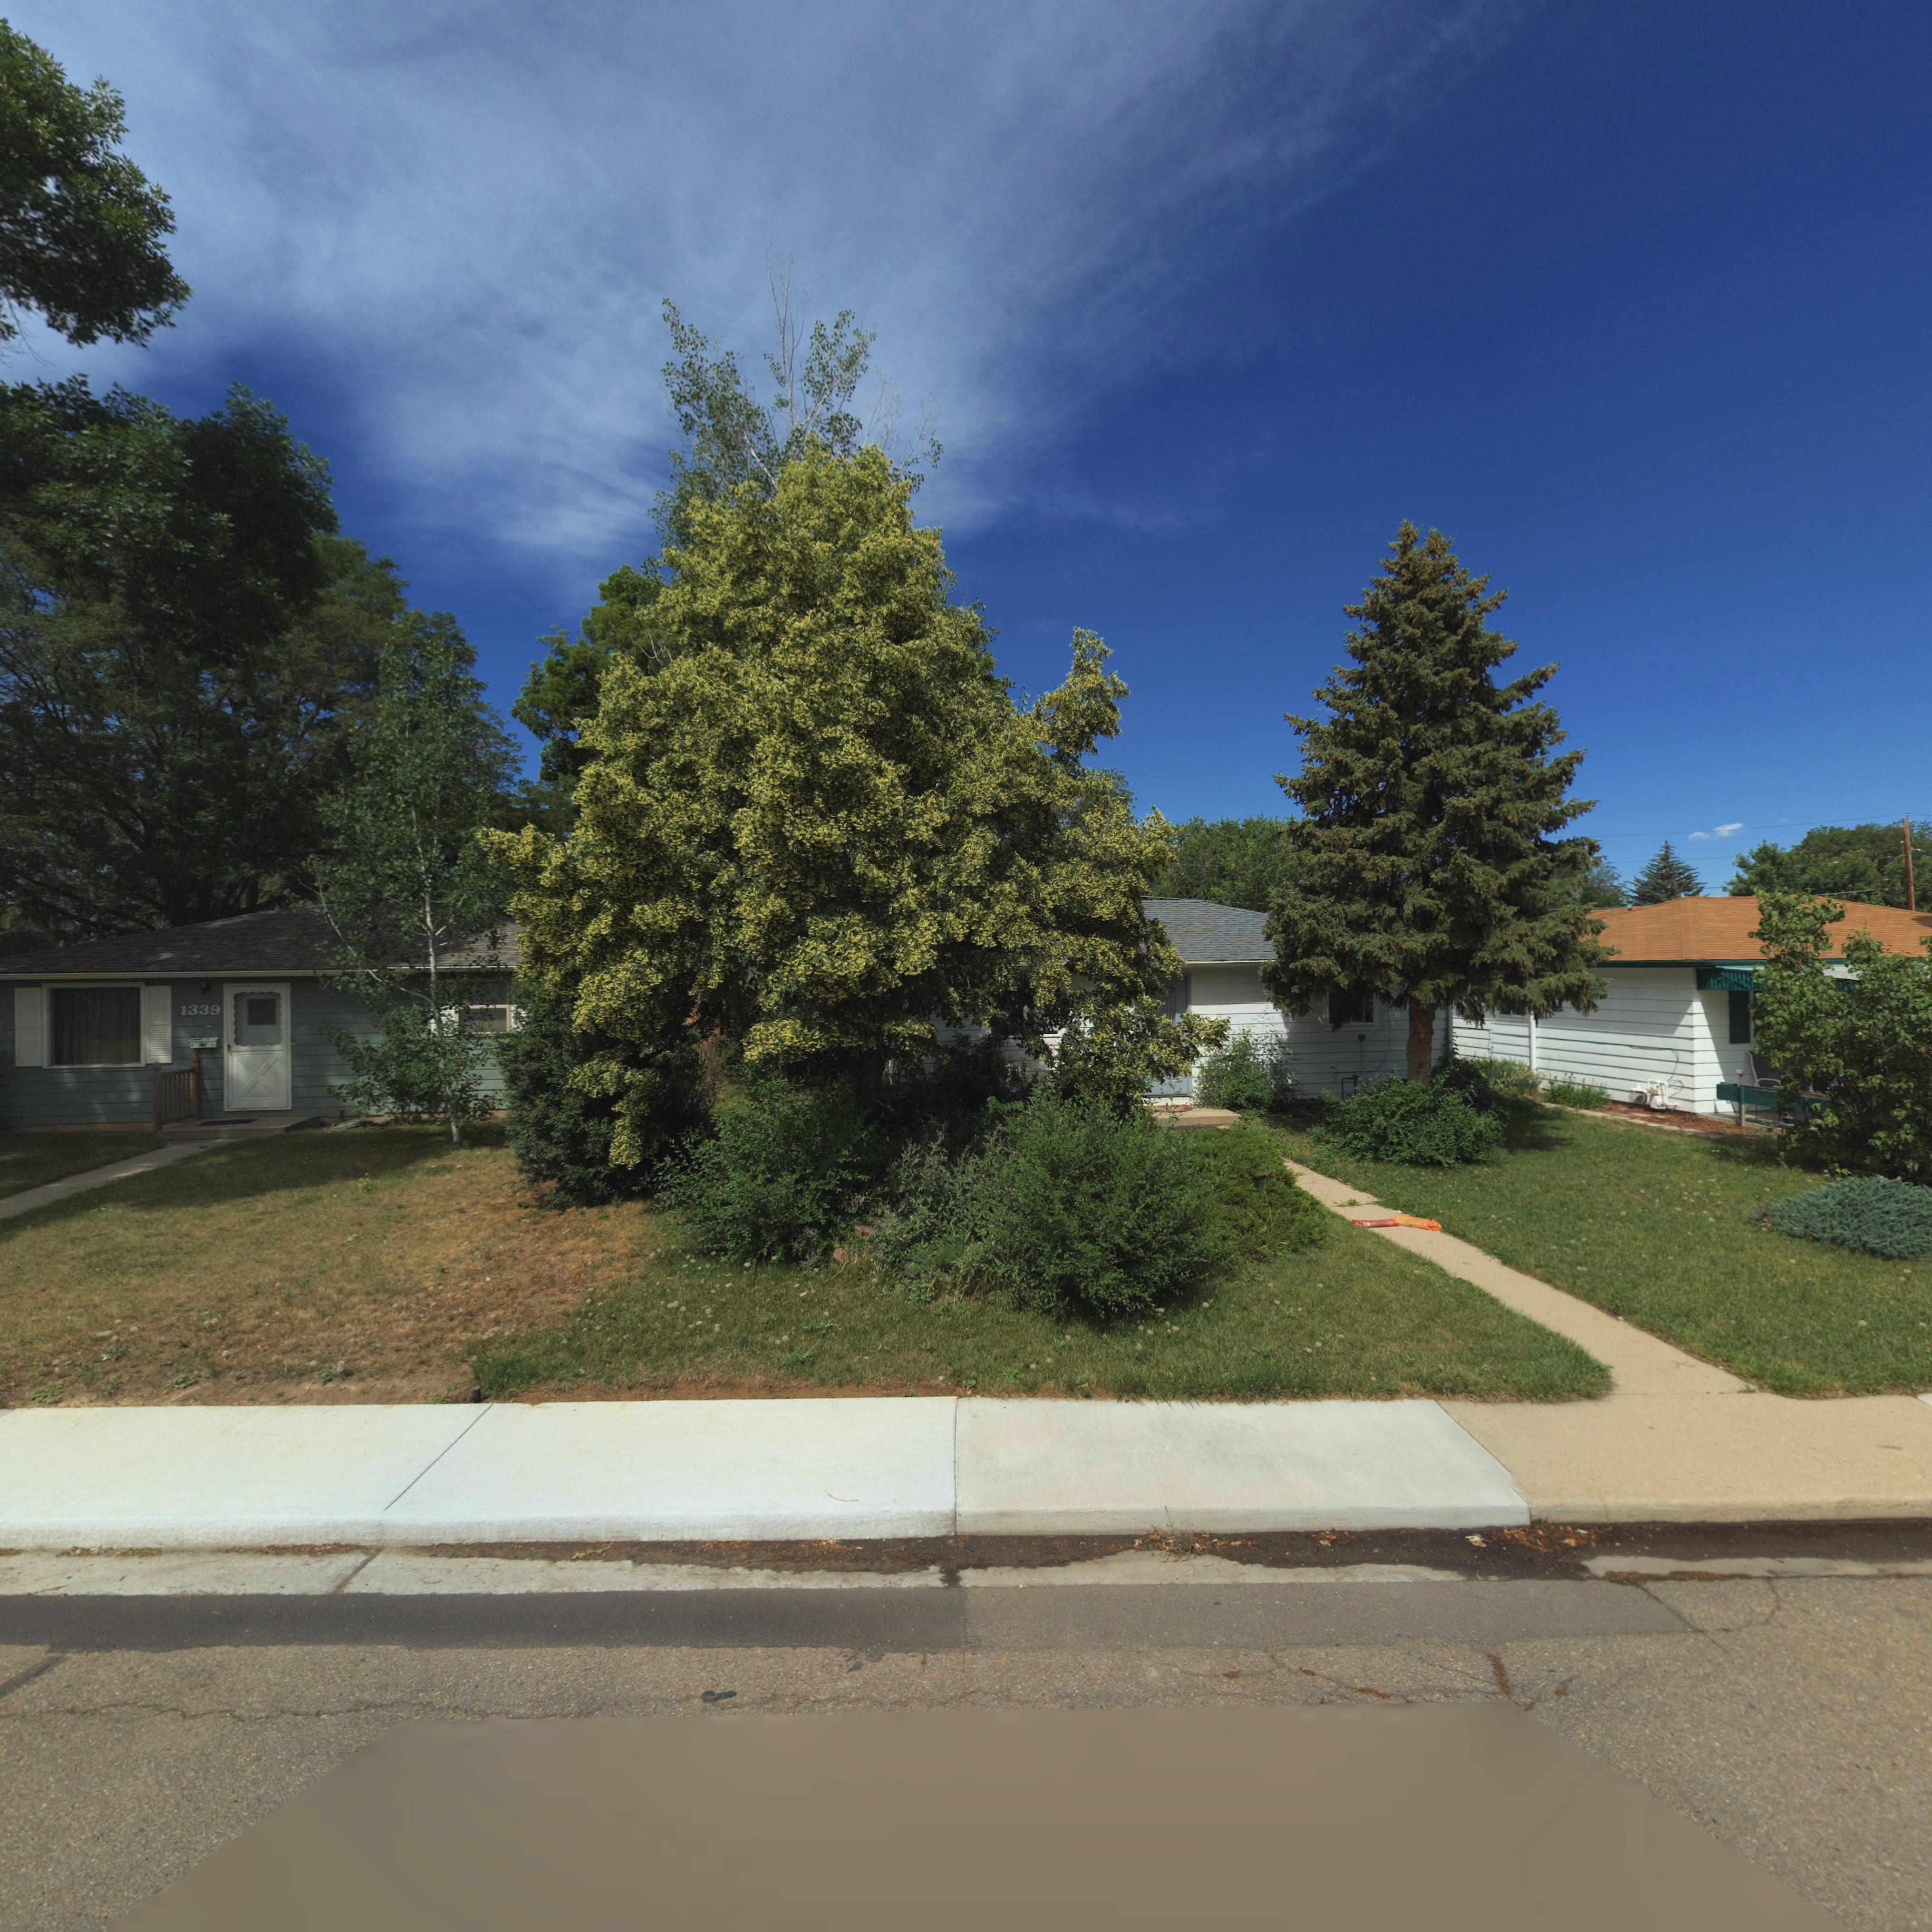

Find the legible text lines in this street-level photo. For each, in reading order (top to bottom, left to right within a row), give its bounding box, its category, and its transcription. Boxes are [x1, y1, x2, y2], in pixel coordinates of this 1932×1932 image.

[180, 1004, 220, 1016] StreetNumber: 1339